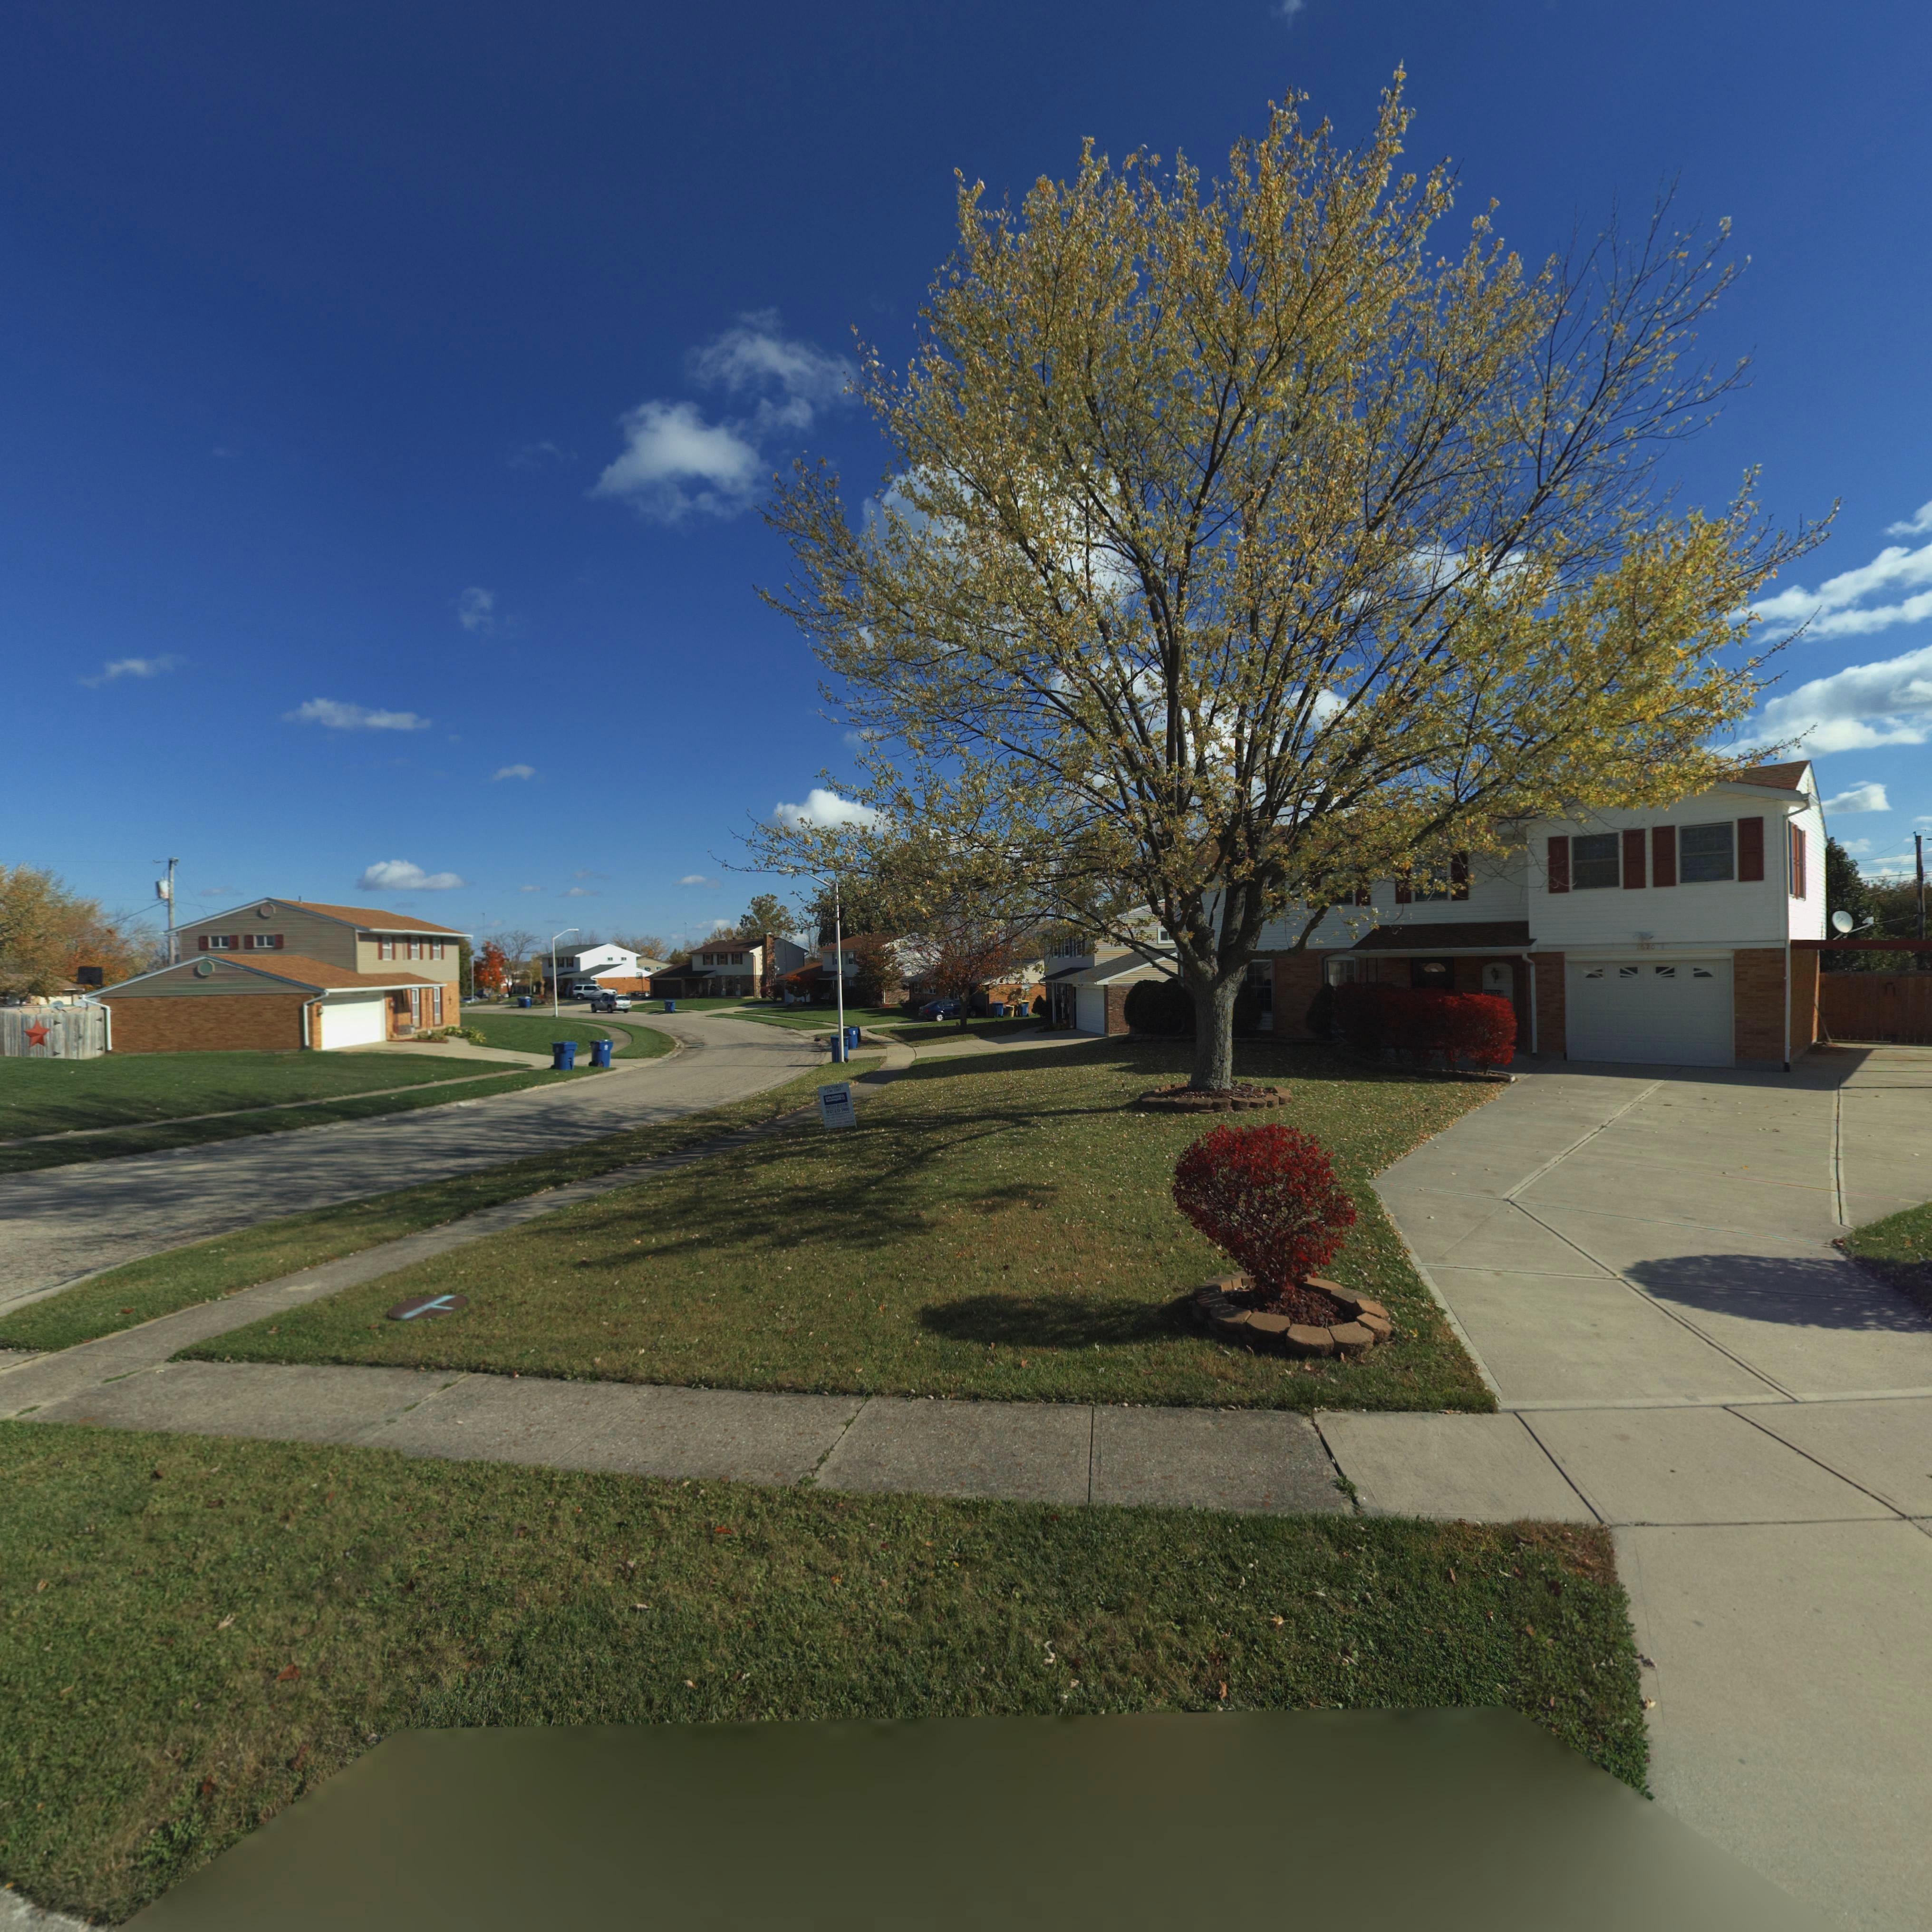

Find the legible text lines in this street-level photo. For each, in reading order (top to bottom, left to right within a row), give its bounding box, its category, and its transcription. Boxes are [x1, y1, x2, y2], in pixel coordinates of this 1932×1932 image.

[1634, 943, 1657, 952] StreetNumber: **20